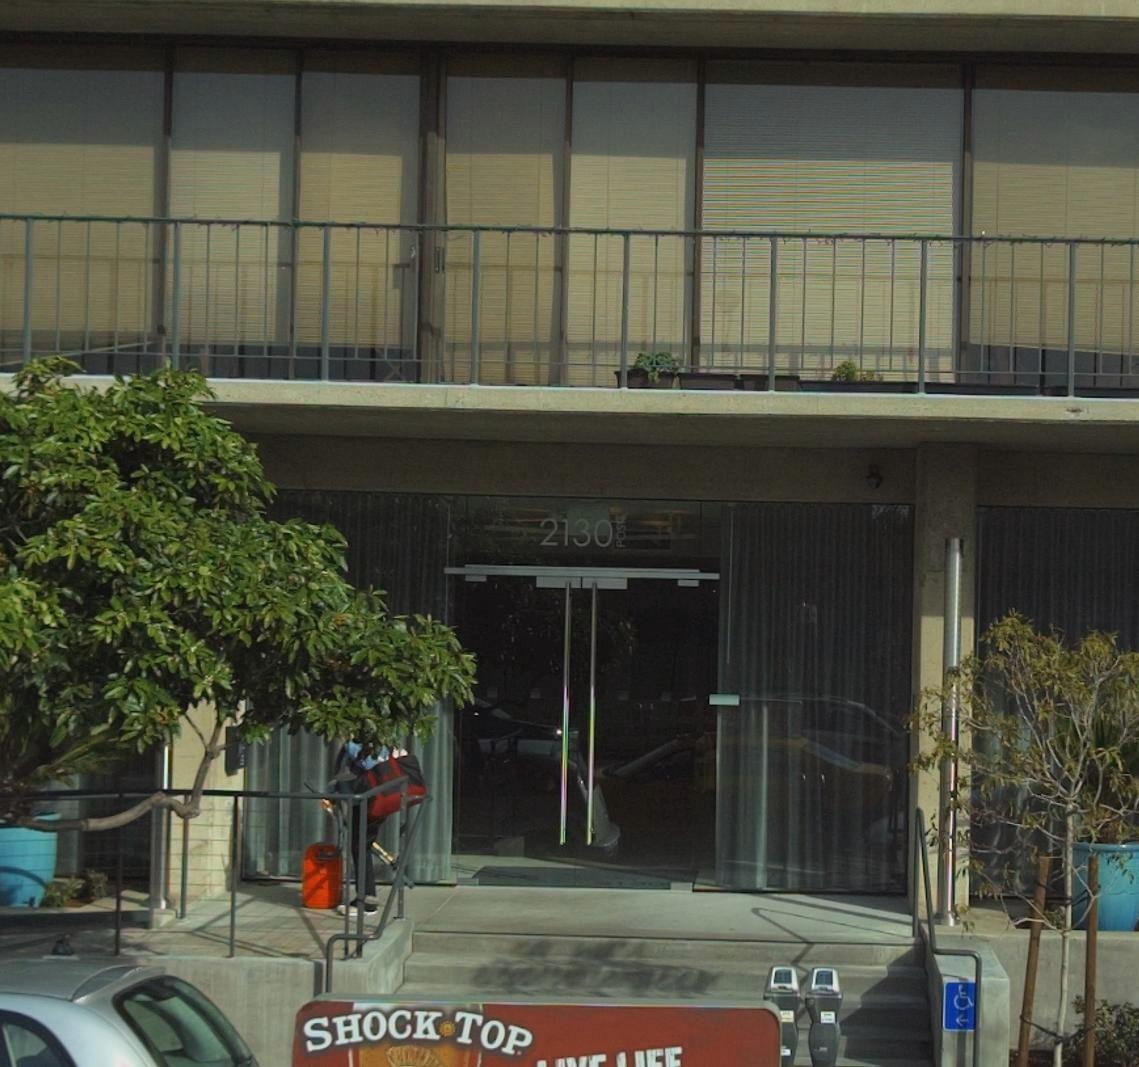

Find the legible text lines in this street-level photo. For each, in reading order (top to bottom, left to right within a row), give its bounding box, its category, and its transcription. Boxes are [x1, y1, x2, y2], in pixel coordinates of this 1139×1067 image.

[536, 515, 615, 550] StreetNumber: 2130
[614, 522, 629, 550] None: POS
[298, 1005, 536, 1059] None: SHOCK * TOP